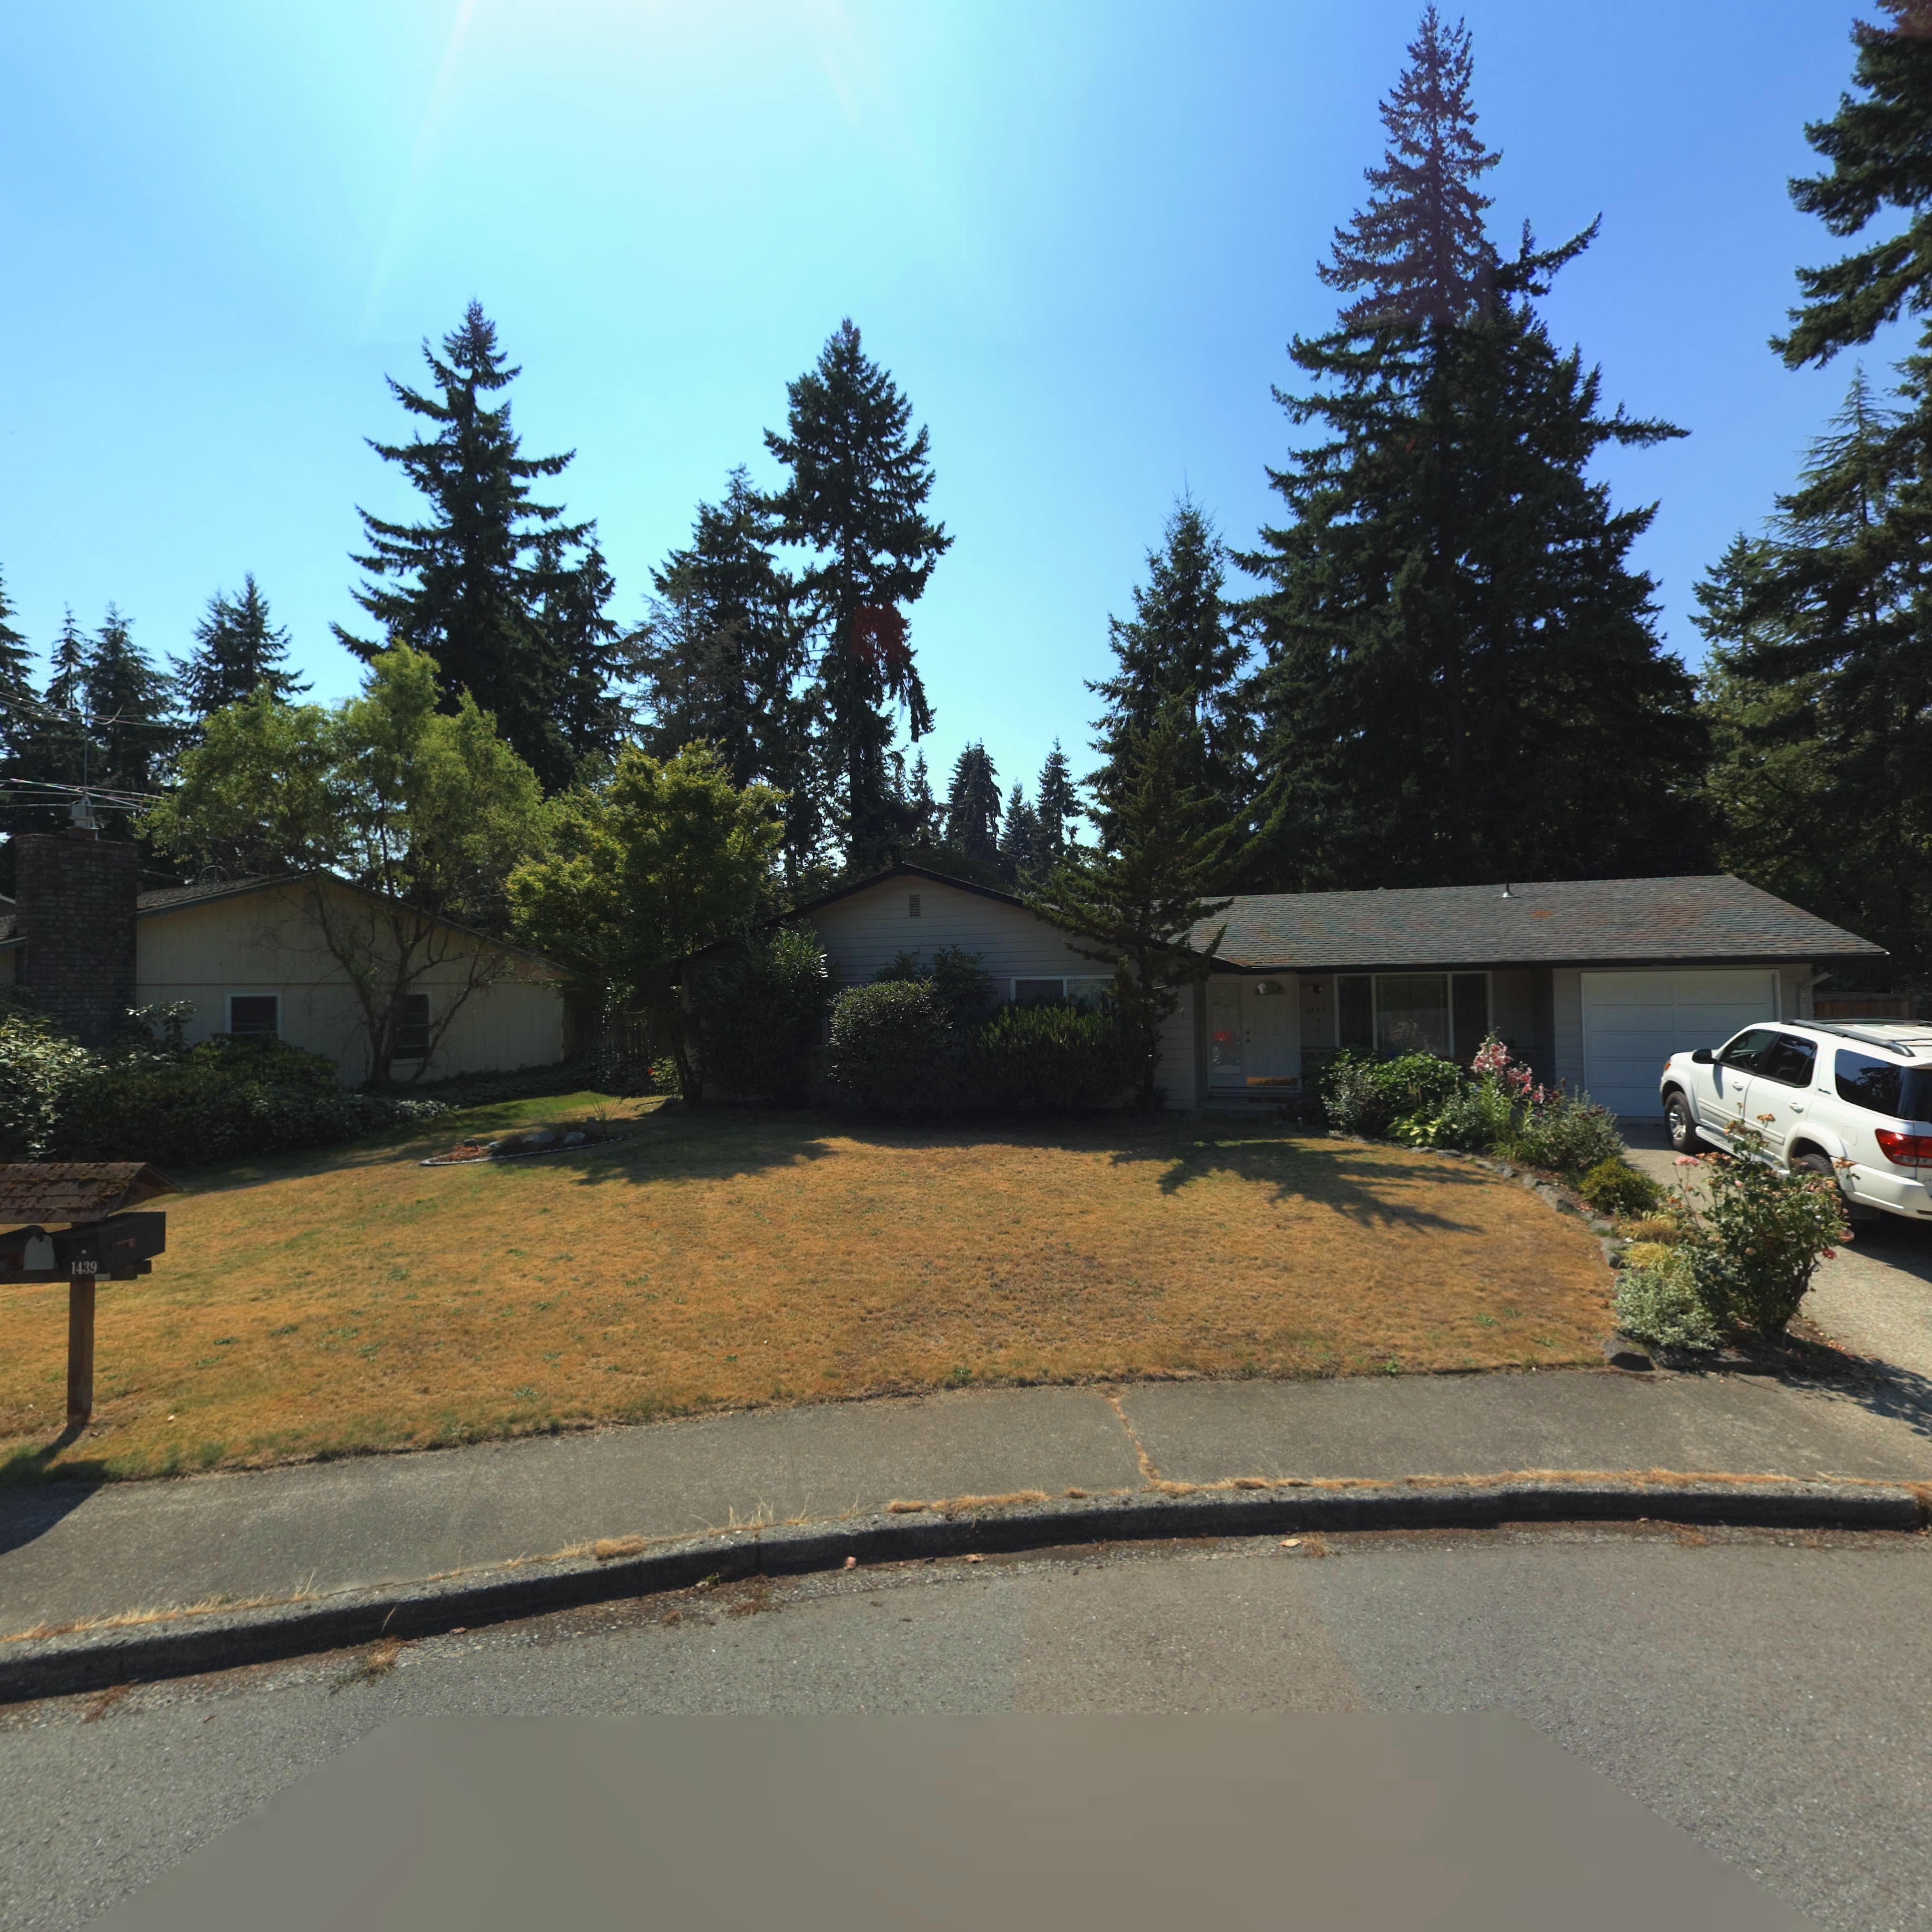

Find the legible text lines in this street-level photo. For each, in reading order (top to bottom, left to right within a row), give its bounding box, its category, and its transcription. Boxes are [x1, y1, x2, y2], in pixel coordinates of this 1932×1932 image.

[1305, 1005, 1326, 1013] StreetNumber: 1433
[69, 1260, 98, 1275] StreetNumber: 1439